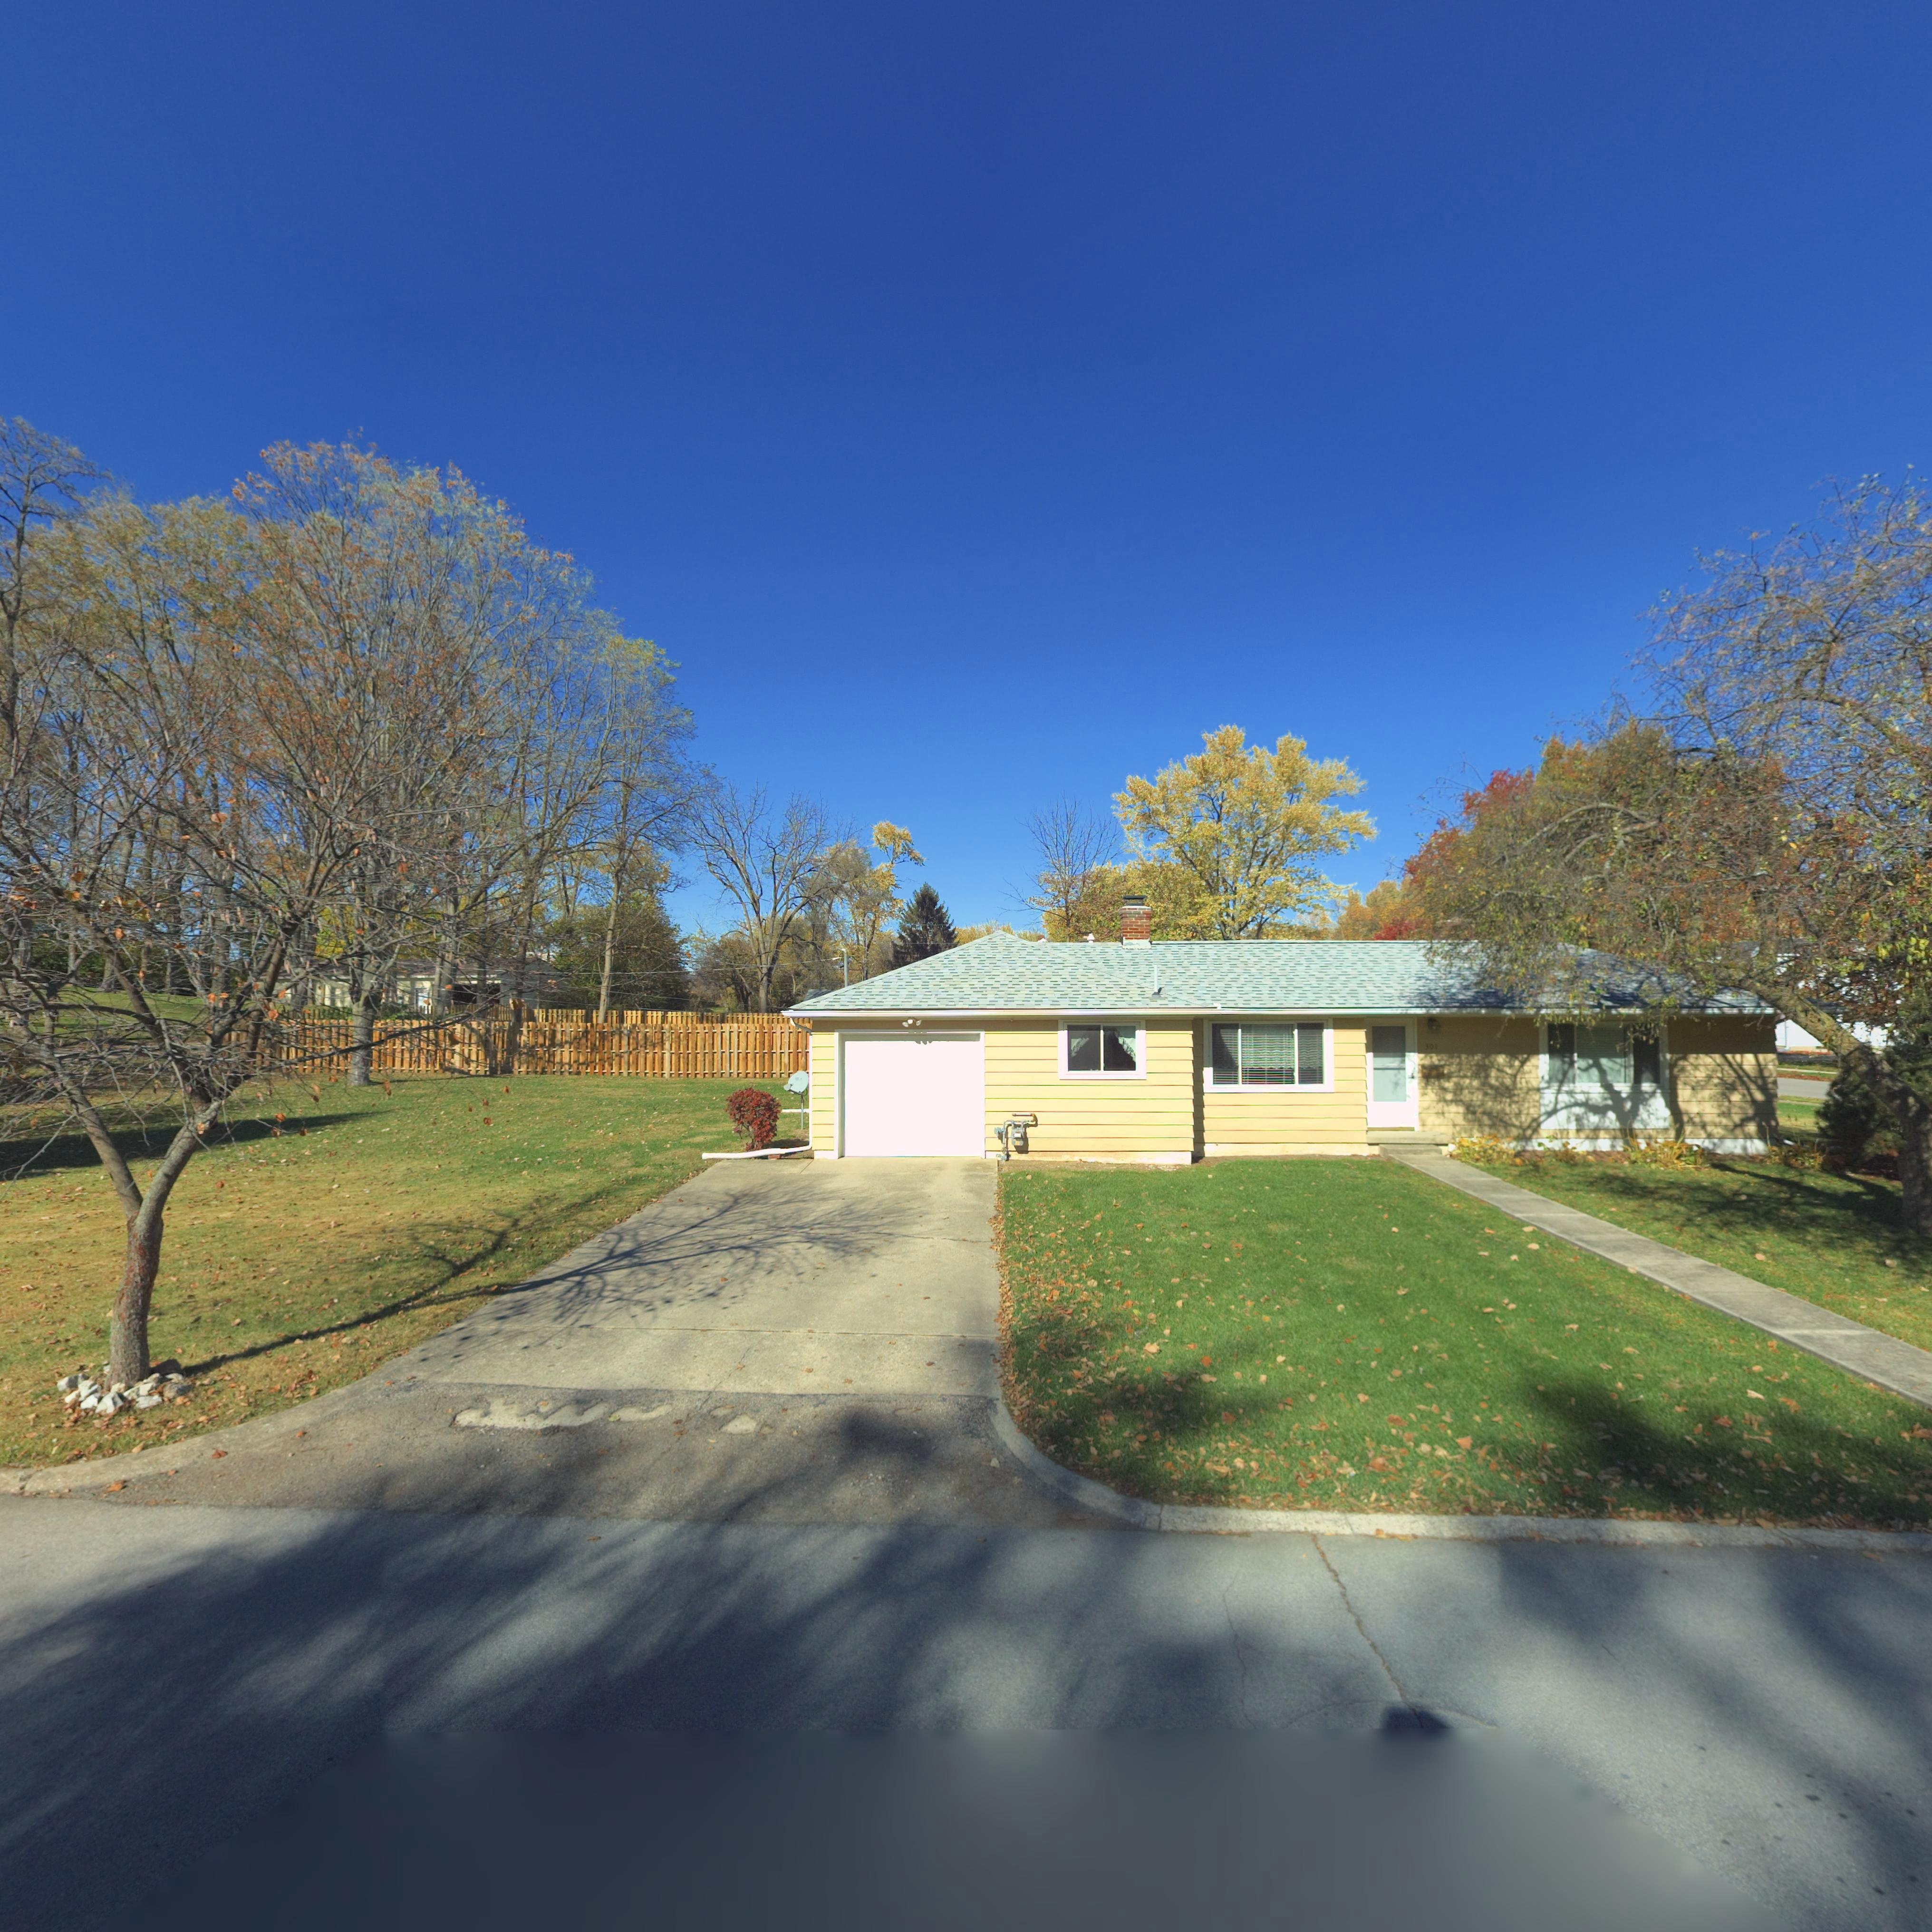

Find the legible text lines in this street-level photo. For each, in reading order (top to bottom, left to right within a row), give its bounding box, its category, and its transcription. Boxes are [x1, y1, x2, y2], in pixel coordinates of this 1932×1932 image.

[1423, 1043, 1438, 1050] StreetNumber: 301